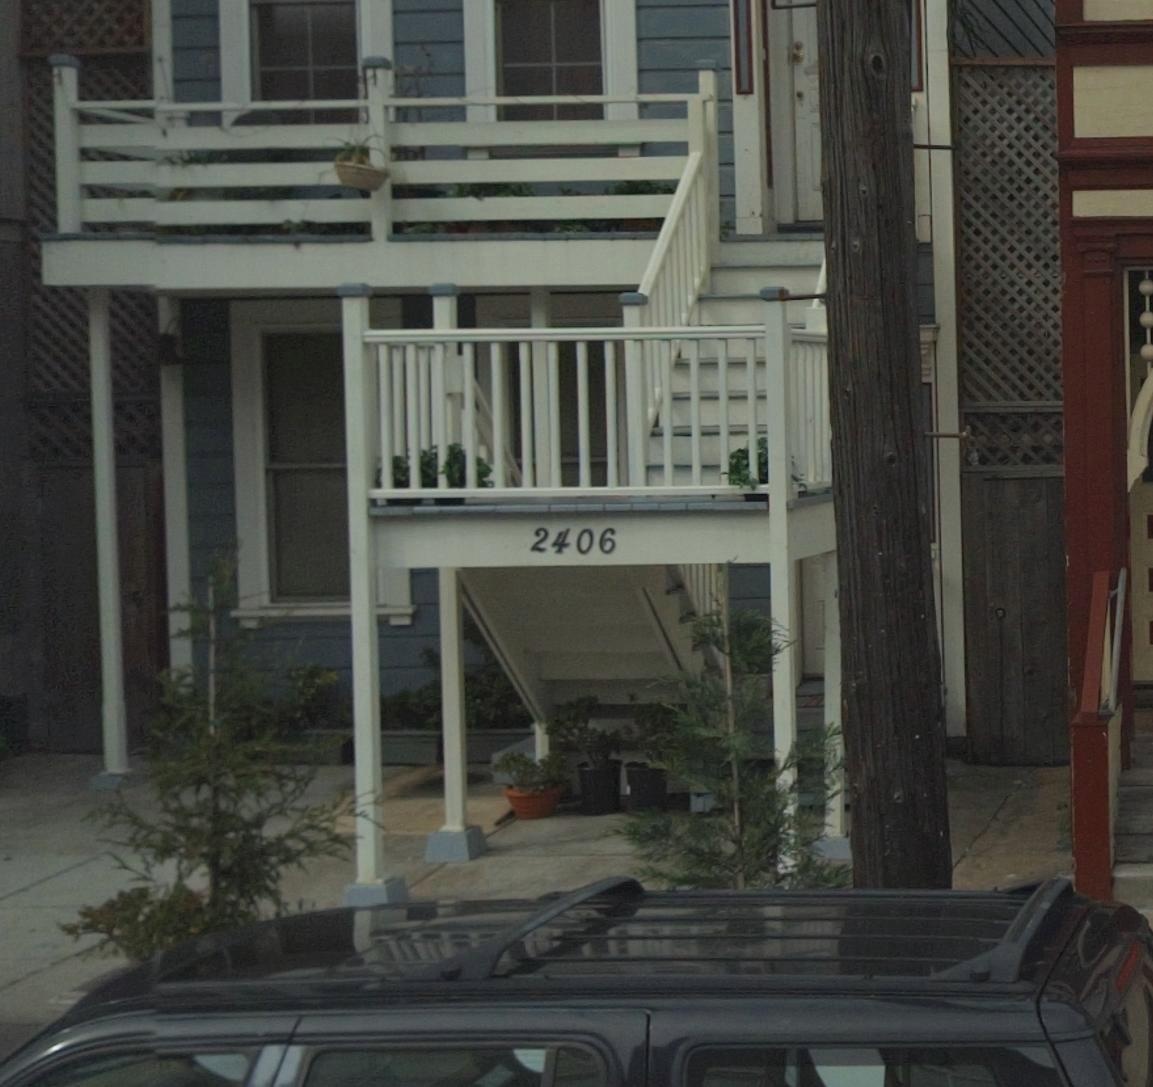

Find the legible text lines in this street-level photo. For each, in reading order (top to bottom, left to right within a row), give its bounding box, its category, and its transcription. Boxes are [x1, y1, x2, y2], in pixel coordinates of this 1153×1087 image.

[528, 526, 619, 556] StreetNumber: 2406